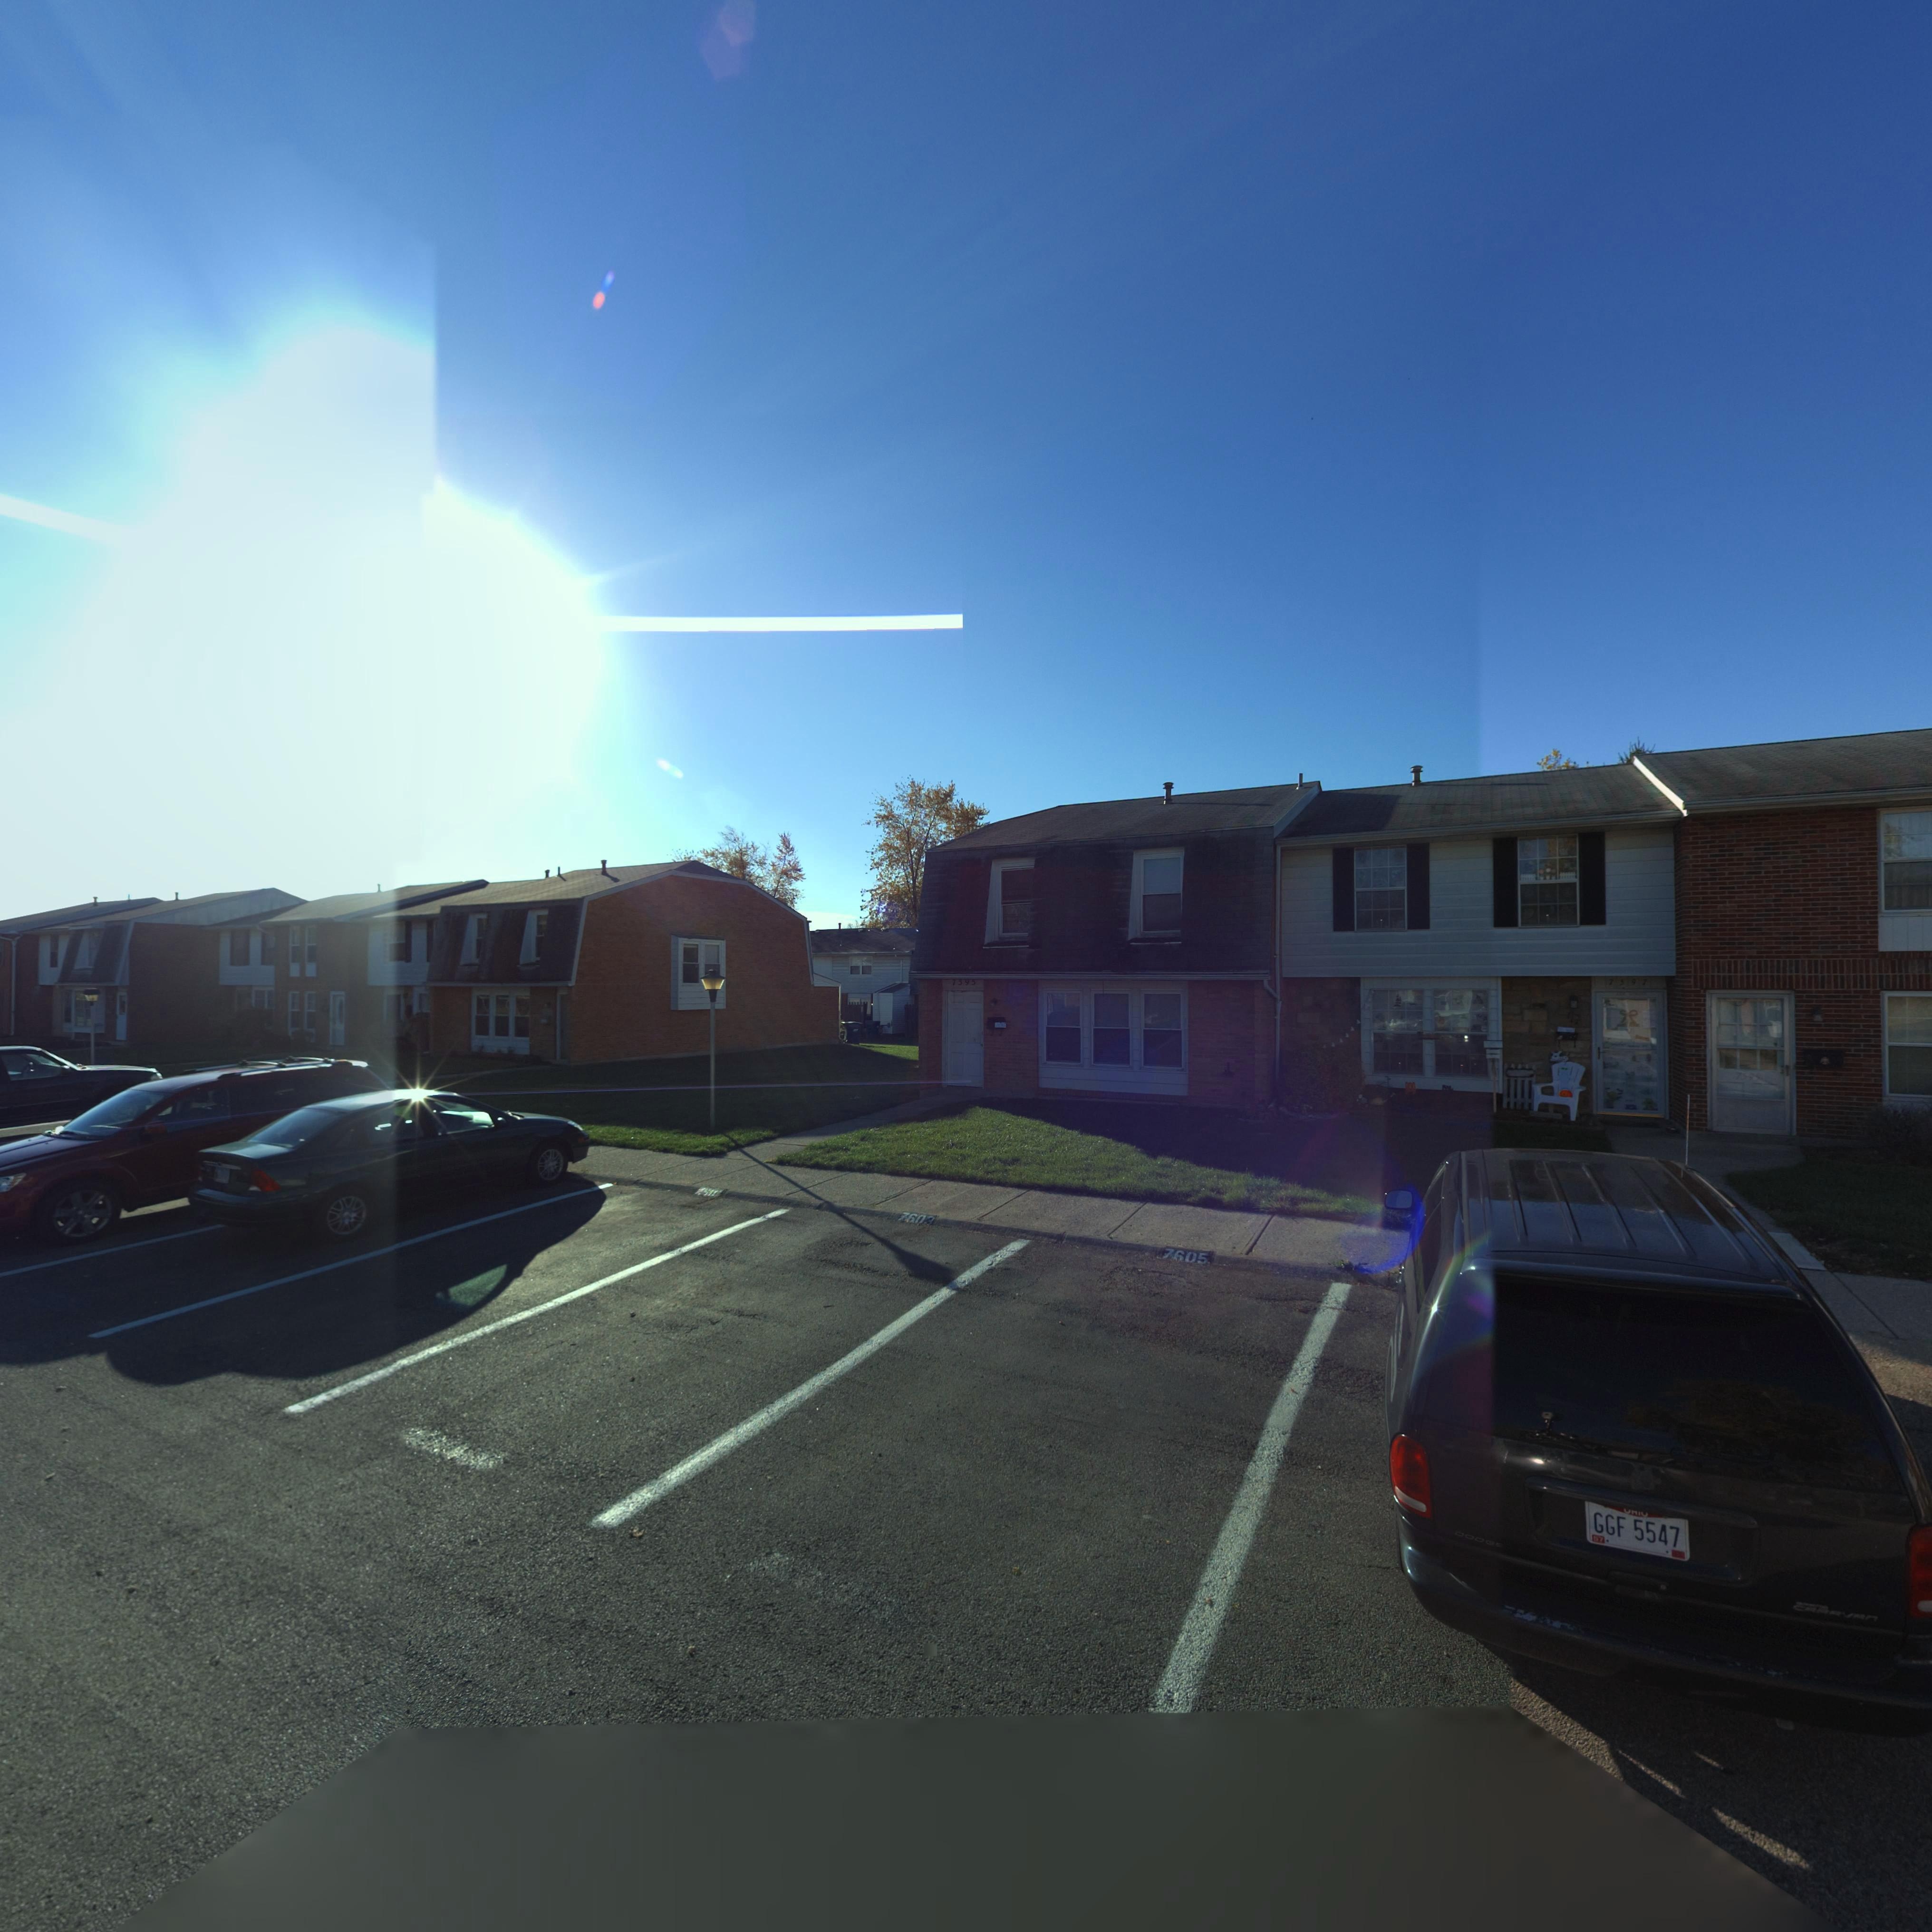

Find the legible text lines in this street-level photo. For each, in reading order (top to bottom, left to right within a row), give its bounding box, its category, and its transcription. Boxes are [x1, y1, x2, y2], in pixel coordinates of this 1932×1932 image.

[952, 979, 976, 985] StreetNumber: 7595
[1608, 978, 1648, 986] StreetNumber: 7597
[693, 1187, 721, 1198] StreetNumber: 75*1
[896, 1211, 936, 1226] StreetNumber: 7603
[1161, 1247, 1209, 1265] StreetNumber: 7605